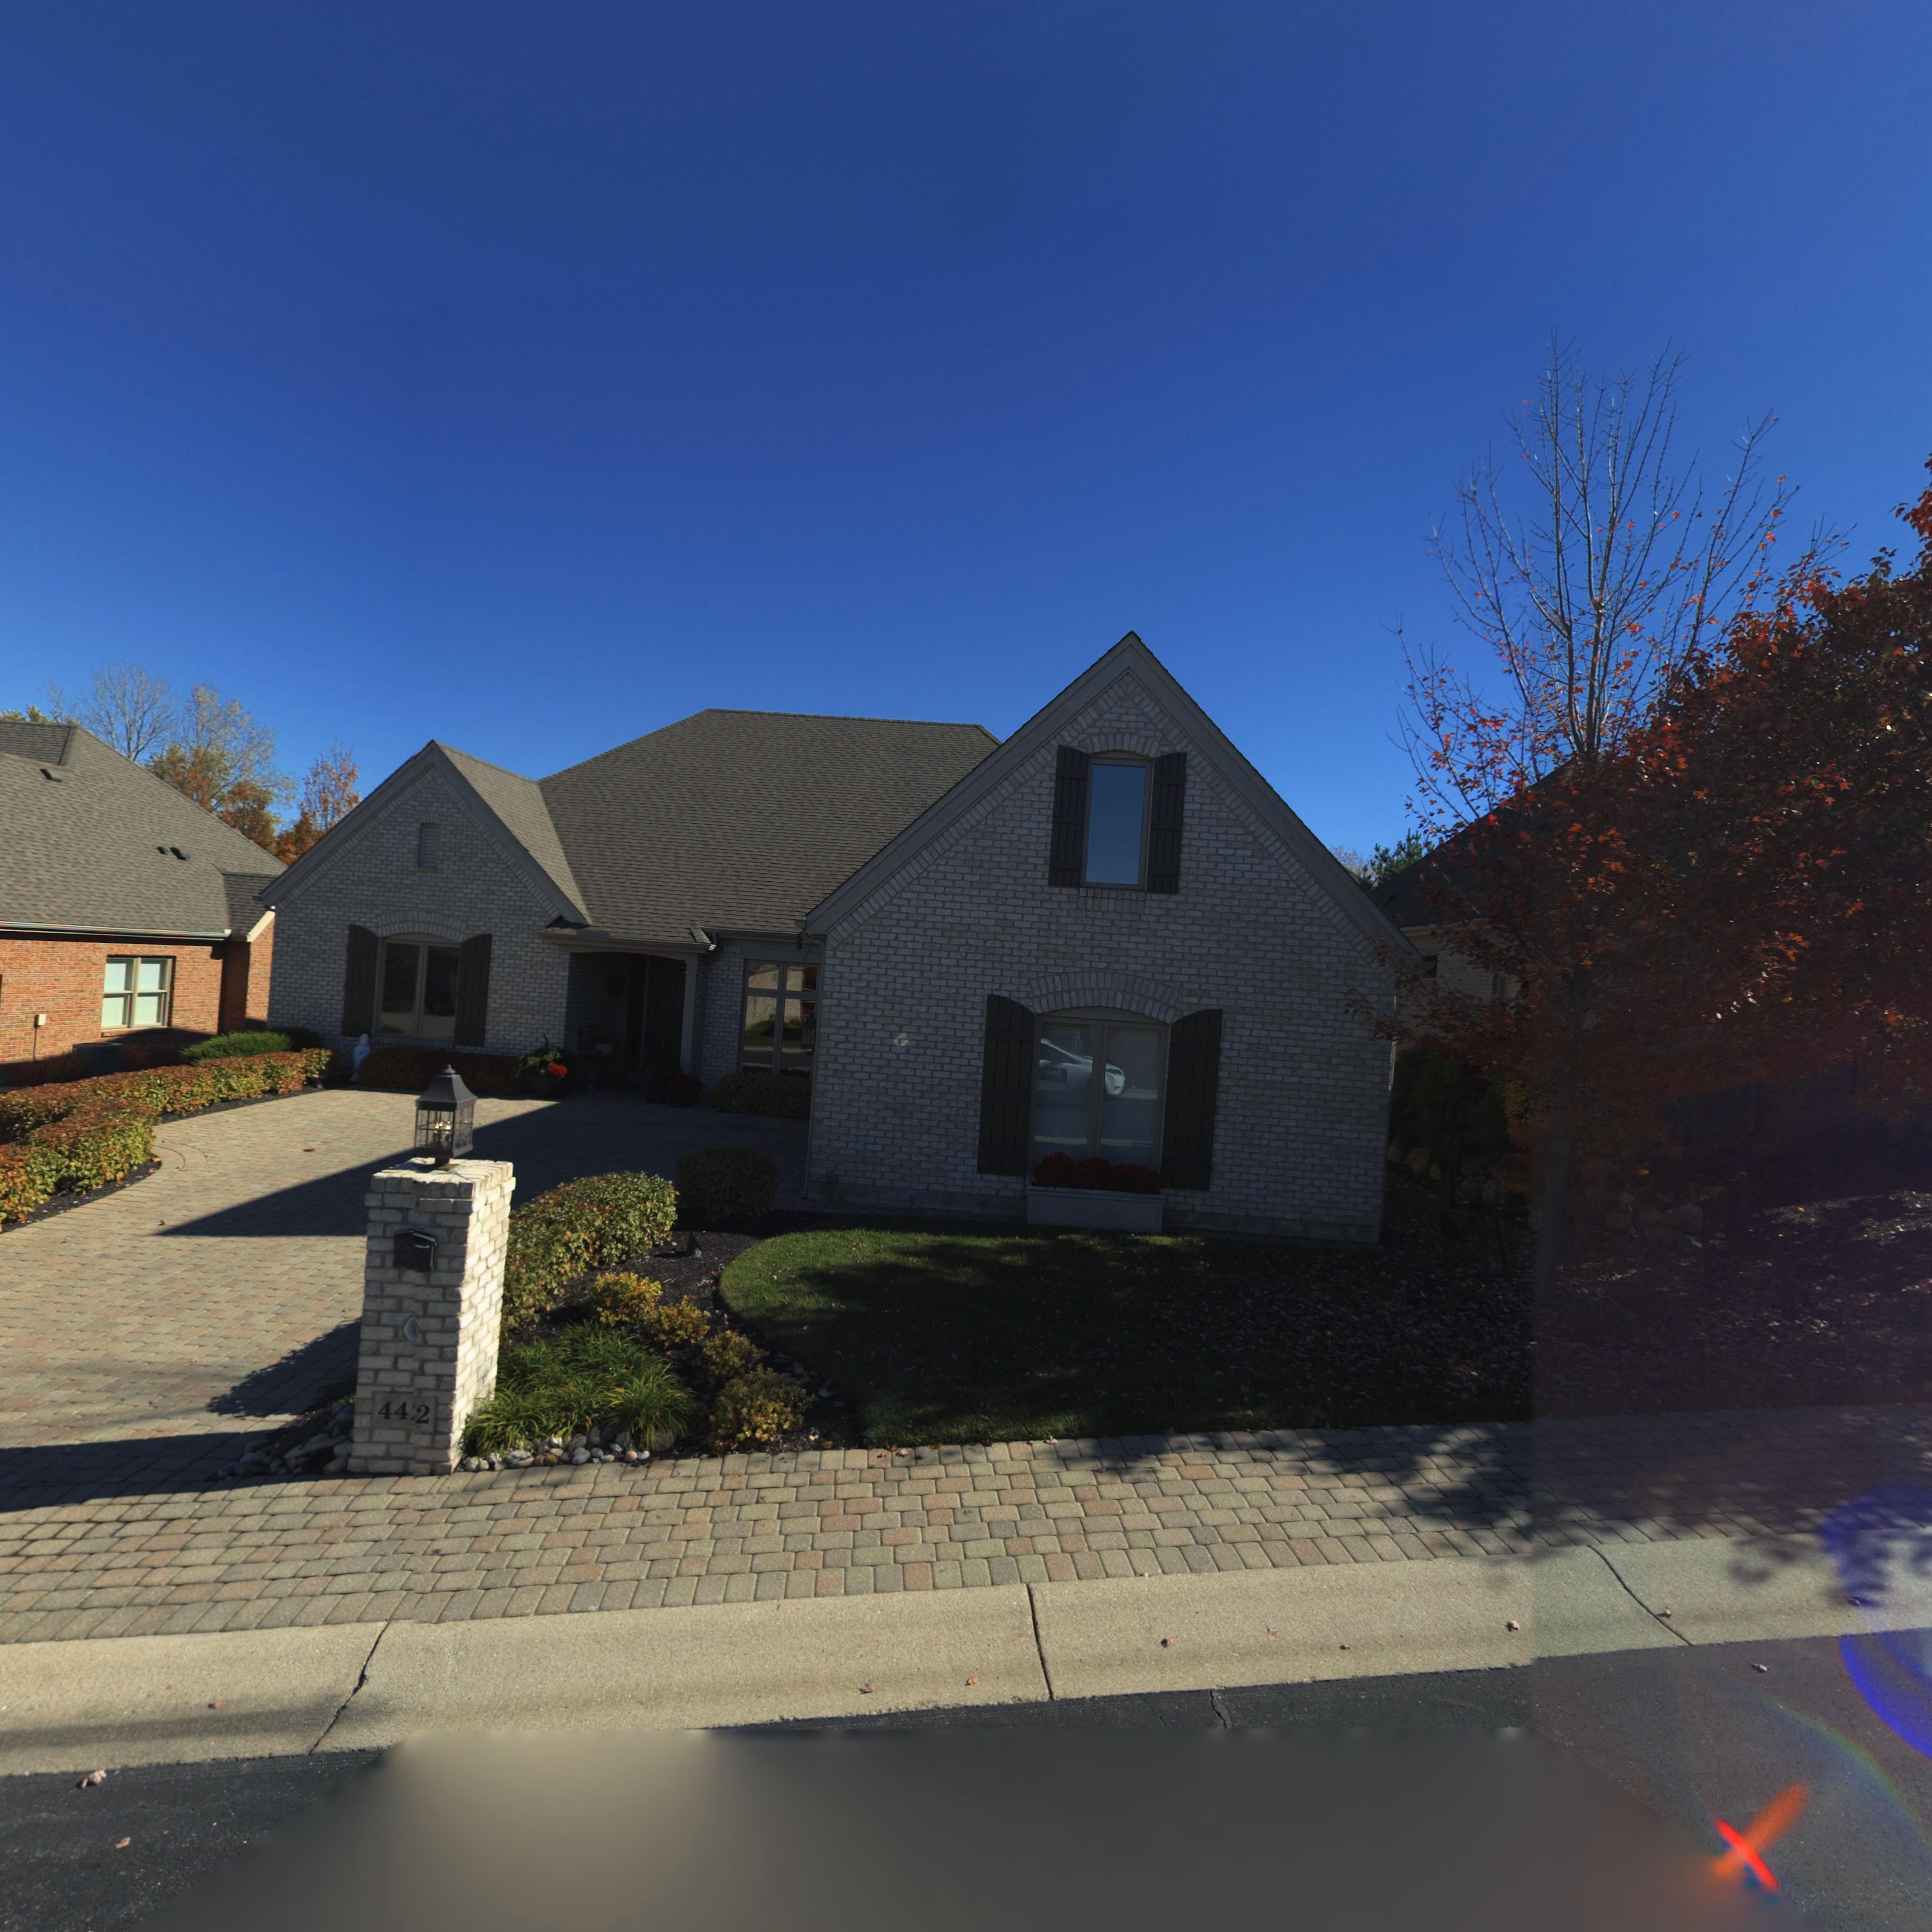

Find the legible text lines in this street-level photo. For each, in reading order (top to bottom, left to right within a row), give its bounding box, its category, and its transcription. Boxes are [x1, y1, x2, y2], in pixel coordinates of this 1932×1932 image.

[376, 1400, 431, 1425] StreetNumber: 44*2